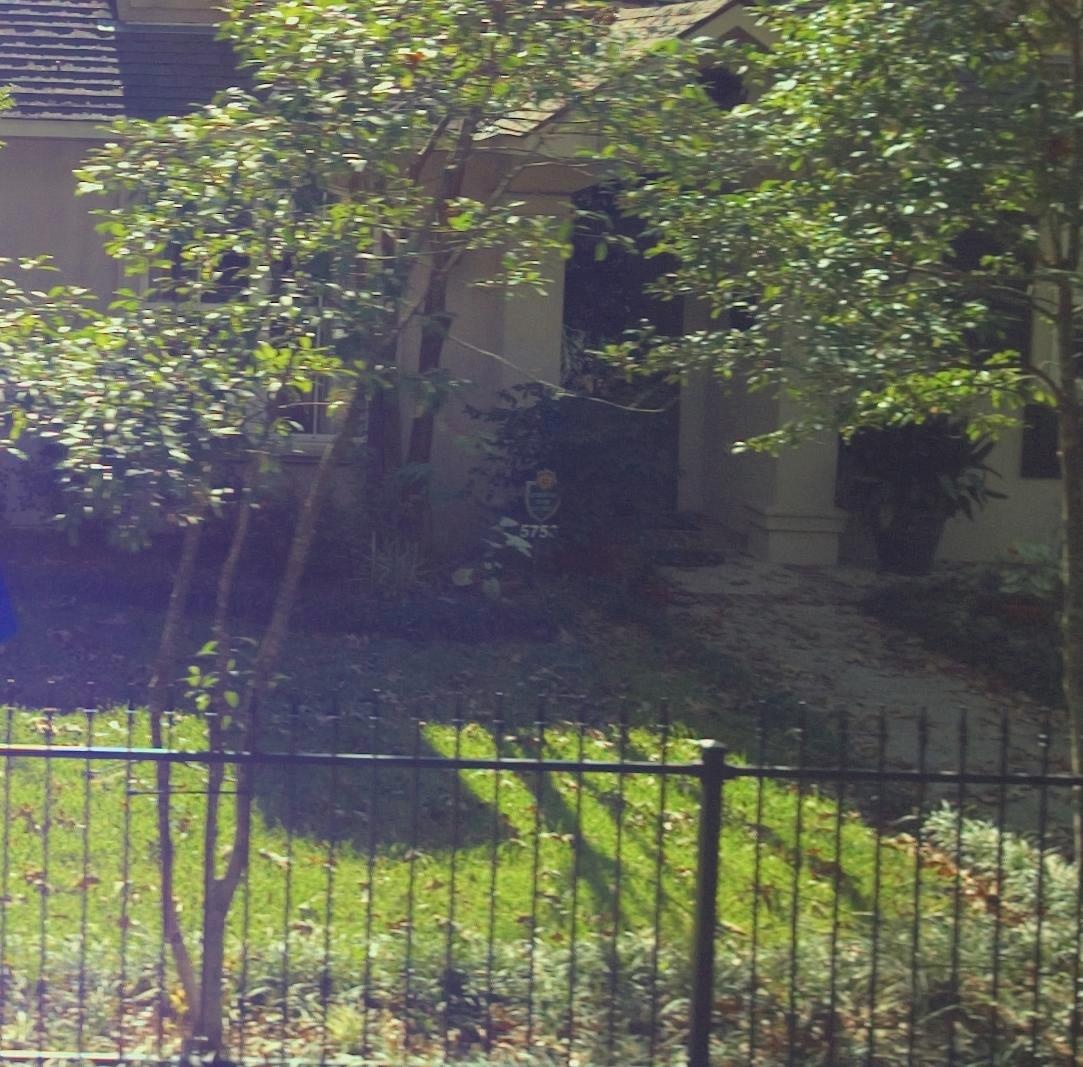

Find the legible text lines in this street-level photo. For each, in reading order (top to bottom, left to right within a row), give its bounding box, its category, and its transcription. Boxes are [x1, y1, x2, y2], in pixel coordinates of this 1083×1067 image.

[520, 523, 560, 539] StreetNumber: 5753